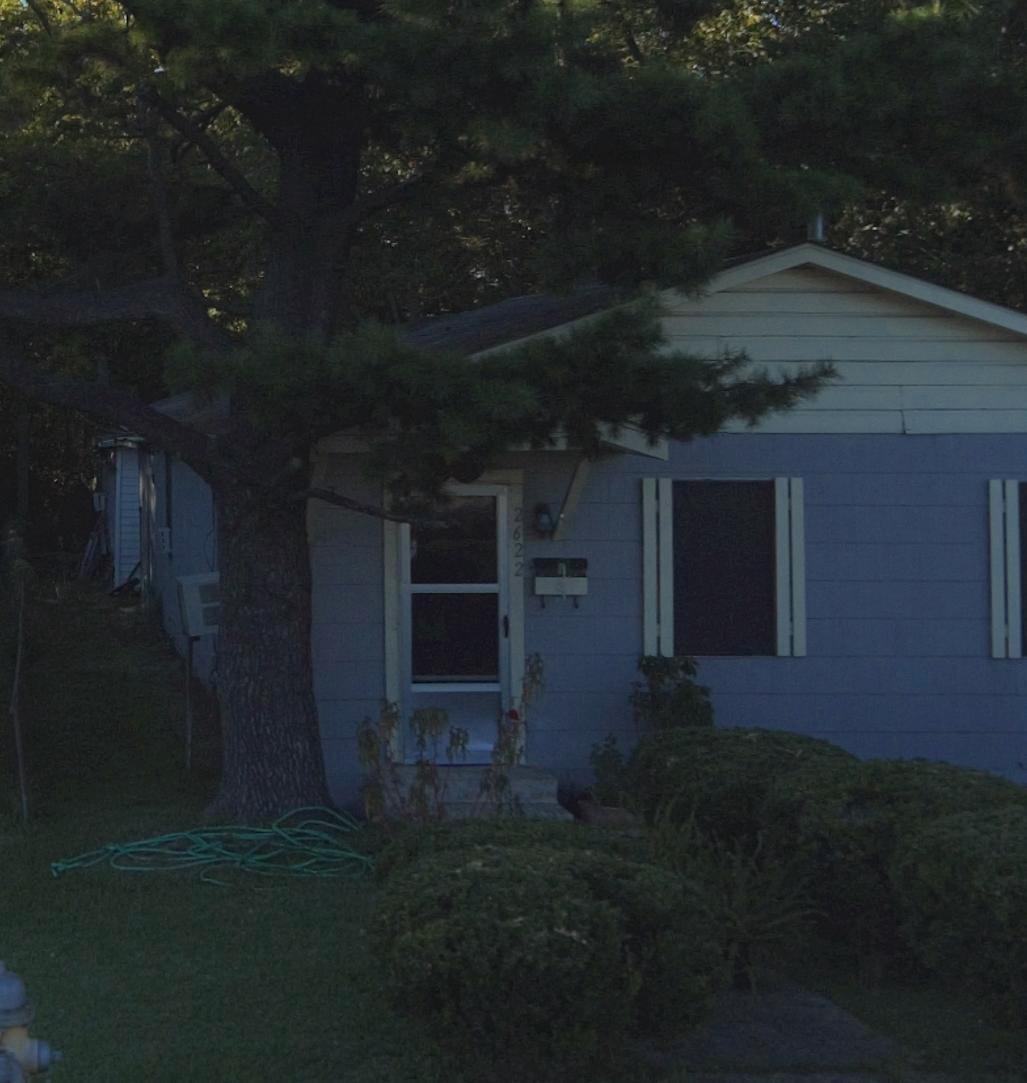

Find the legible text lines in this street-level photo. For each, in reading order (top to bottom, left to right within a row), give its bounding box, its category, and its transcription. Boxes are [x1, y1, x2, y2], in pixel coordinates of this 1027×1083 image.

[511, 505, 525, 578] StreetNumber: 2622